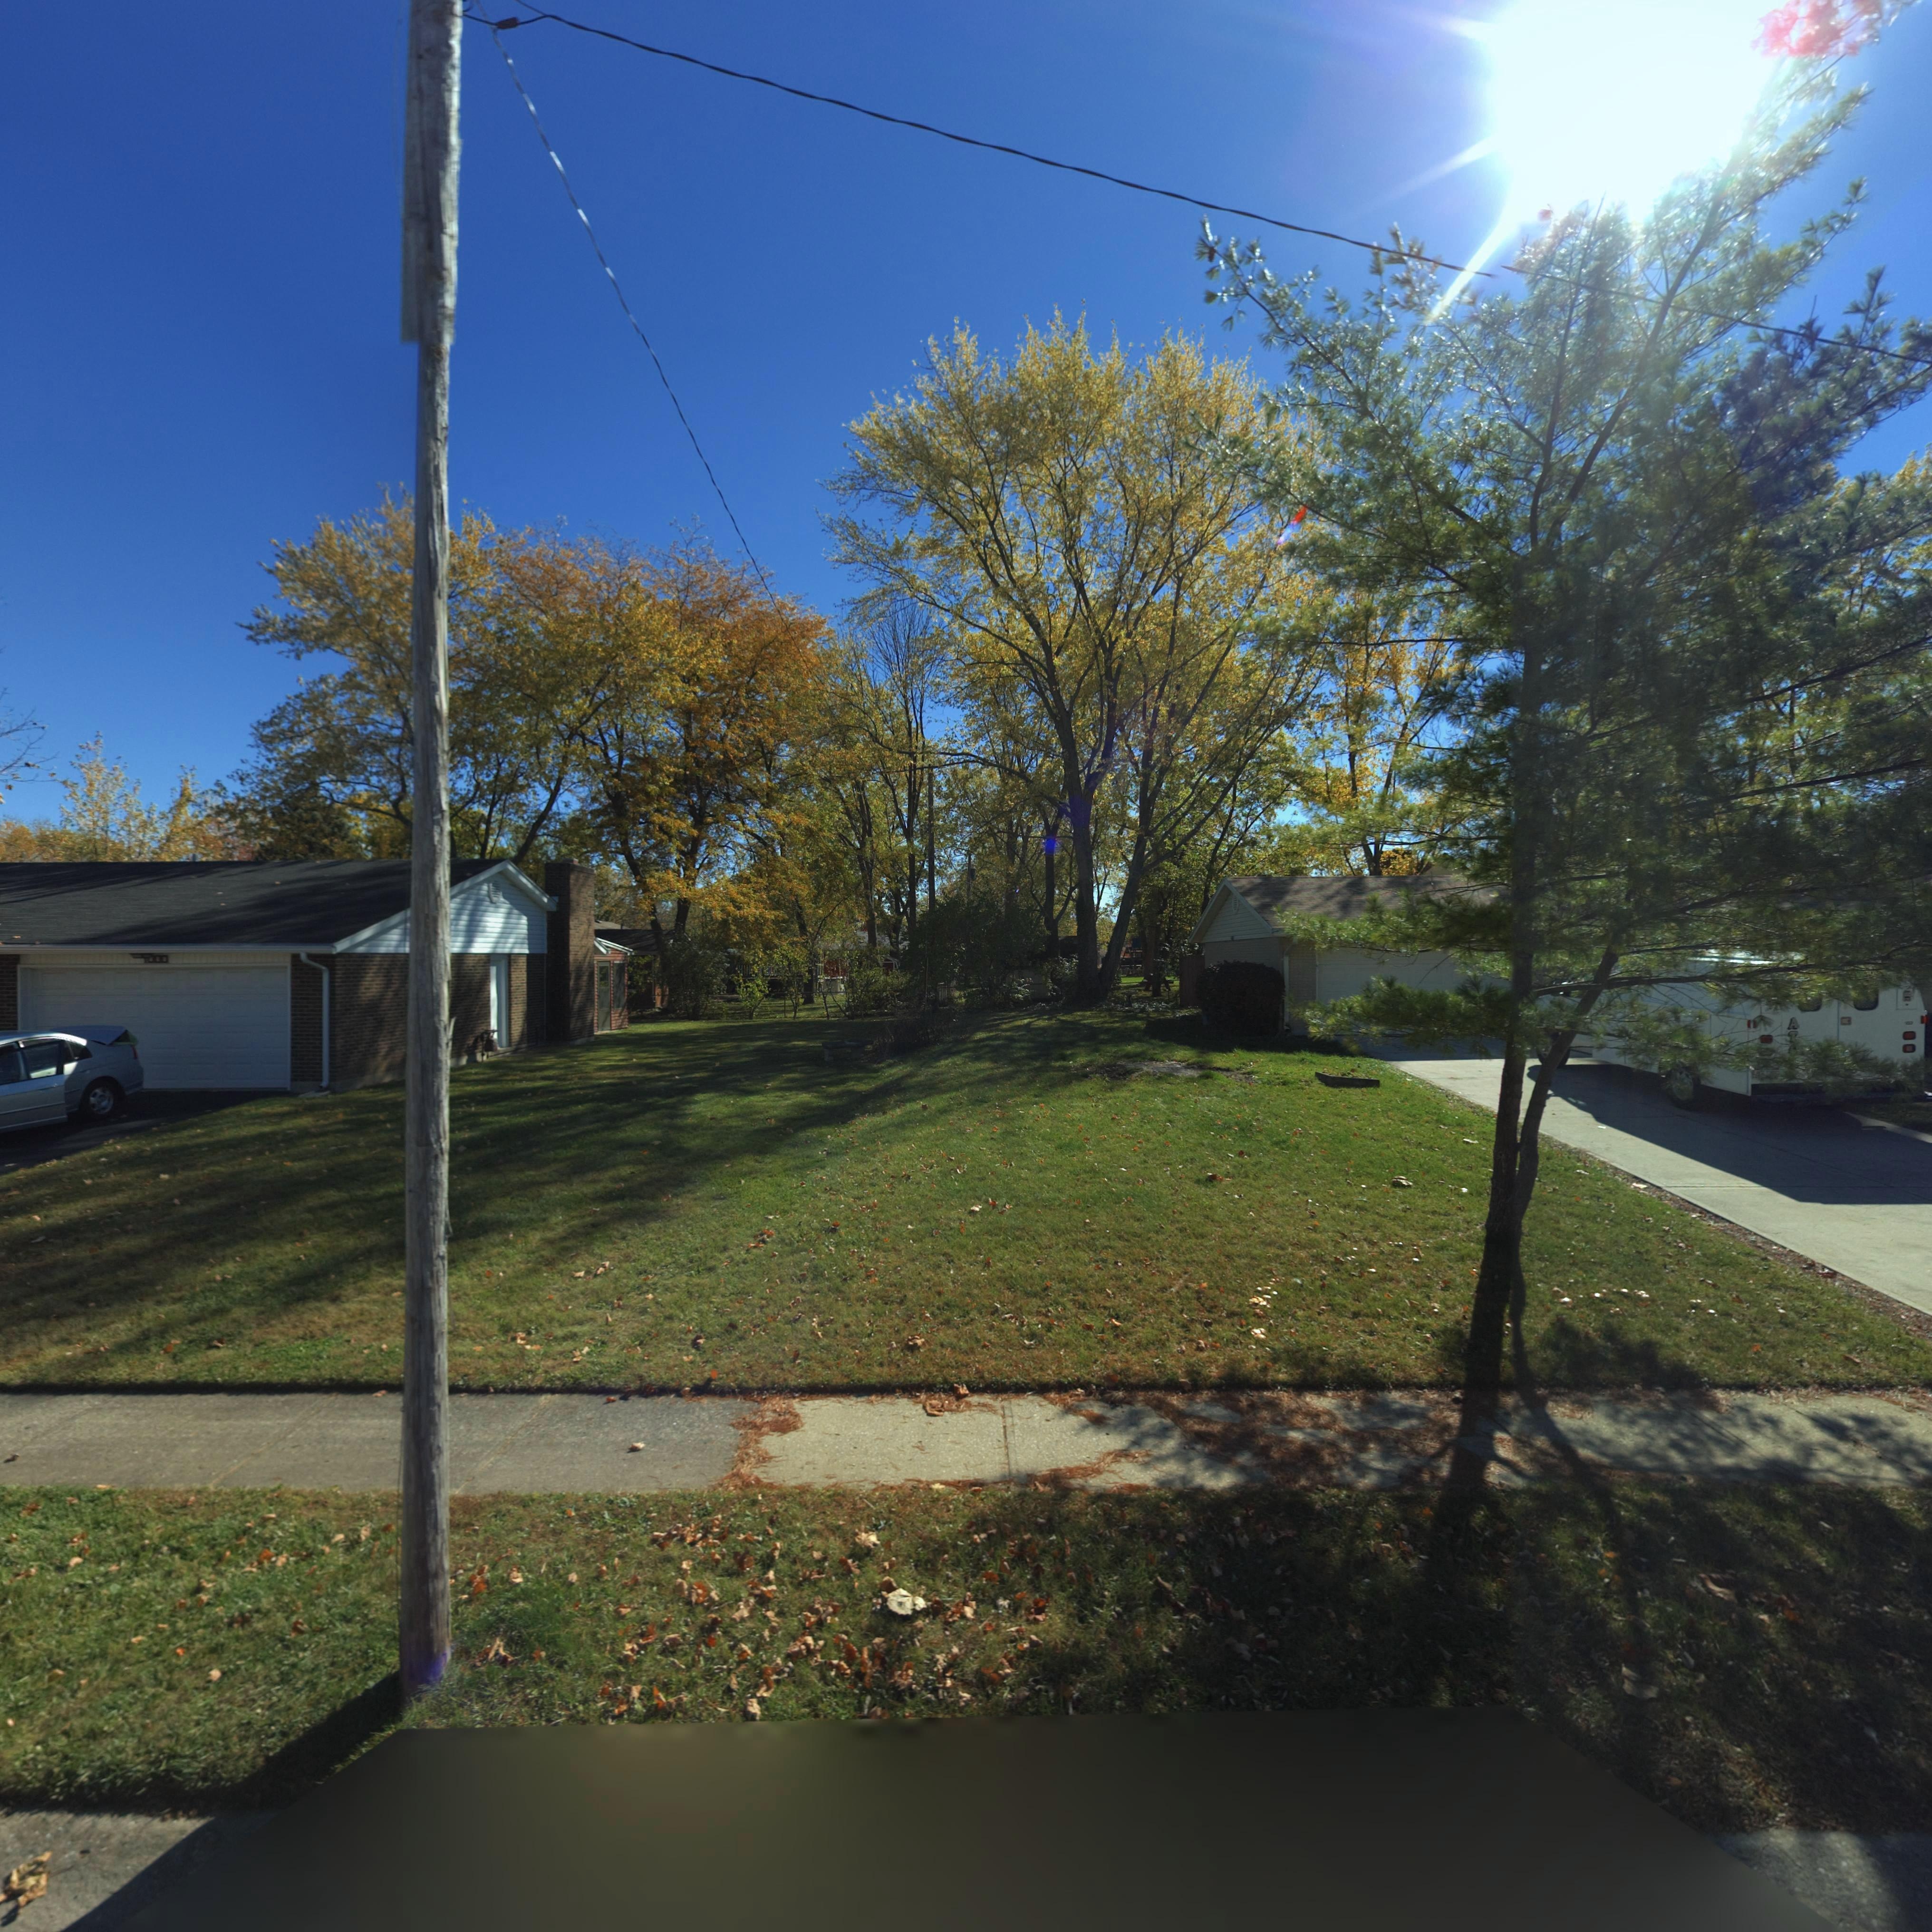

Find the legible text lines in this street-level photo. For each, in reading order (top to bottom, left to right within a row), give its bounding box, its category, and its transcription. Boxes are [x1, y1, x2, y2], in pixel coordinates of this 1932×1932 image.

[144, 954, 169, 963] StreetNumber: **00